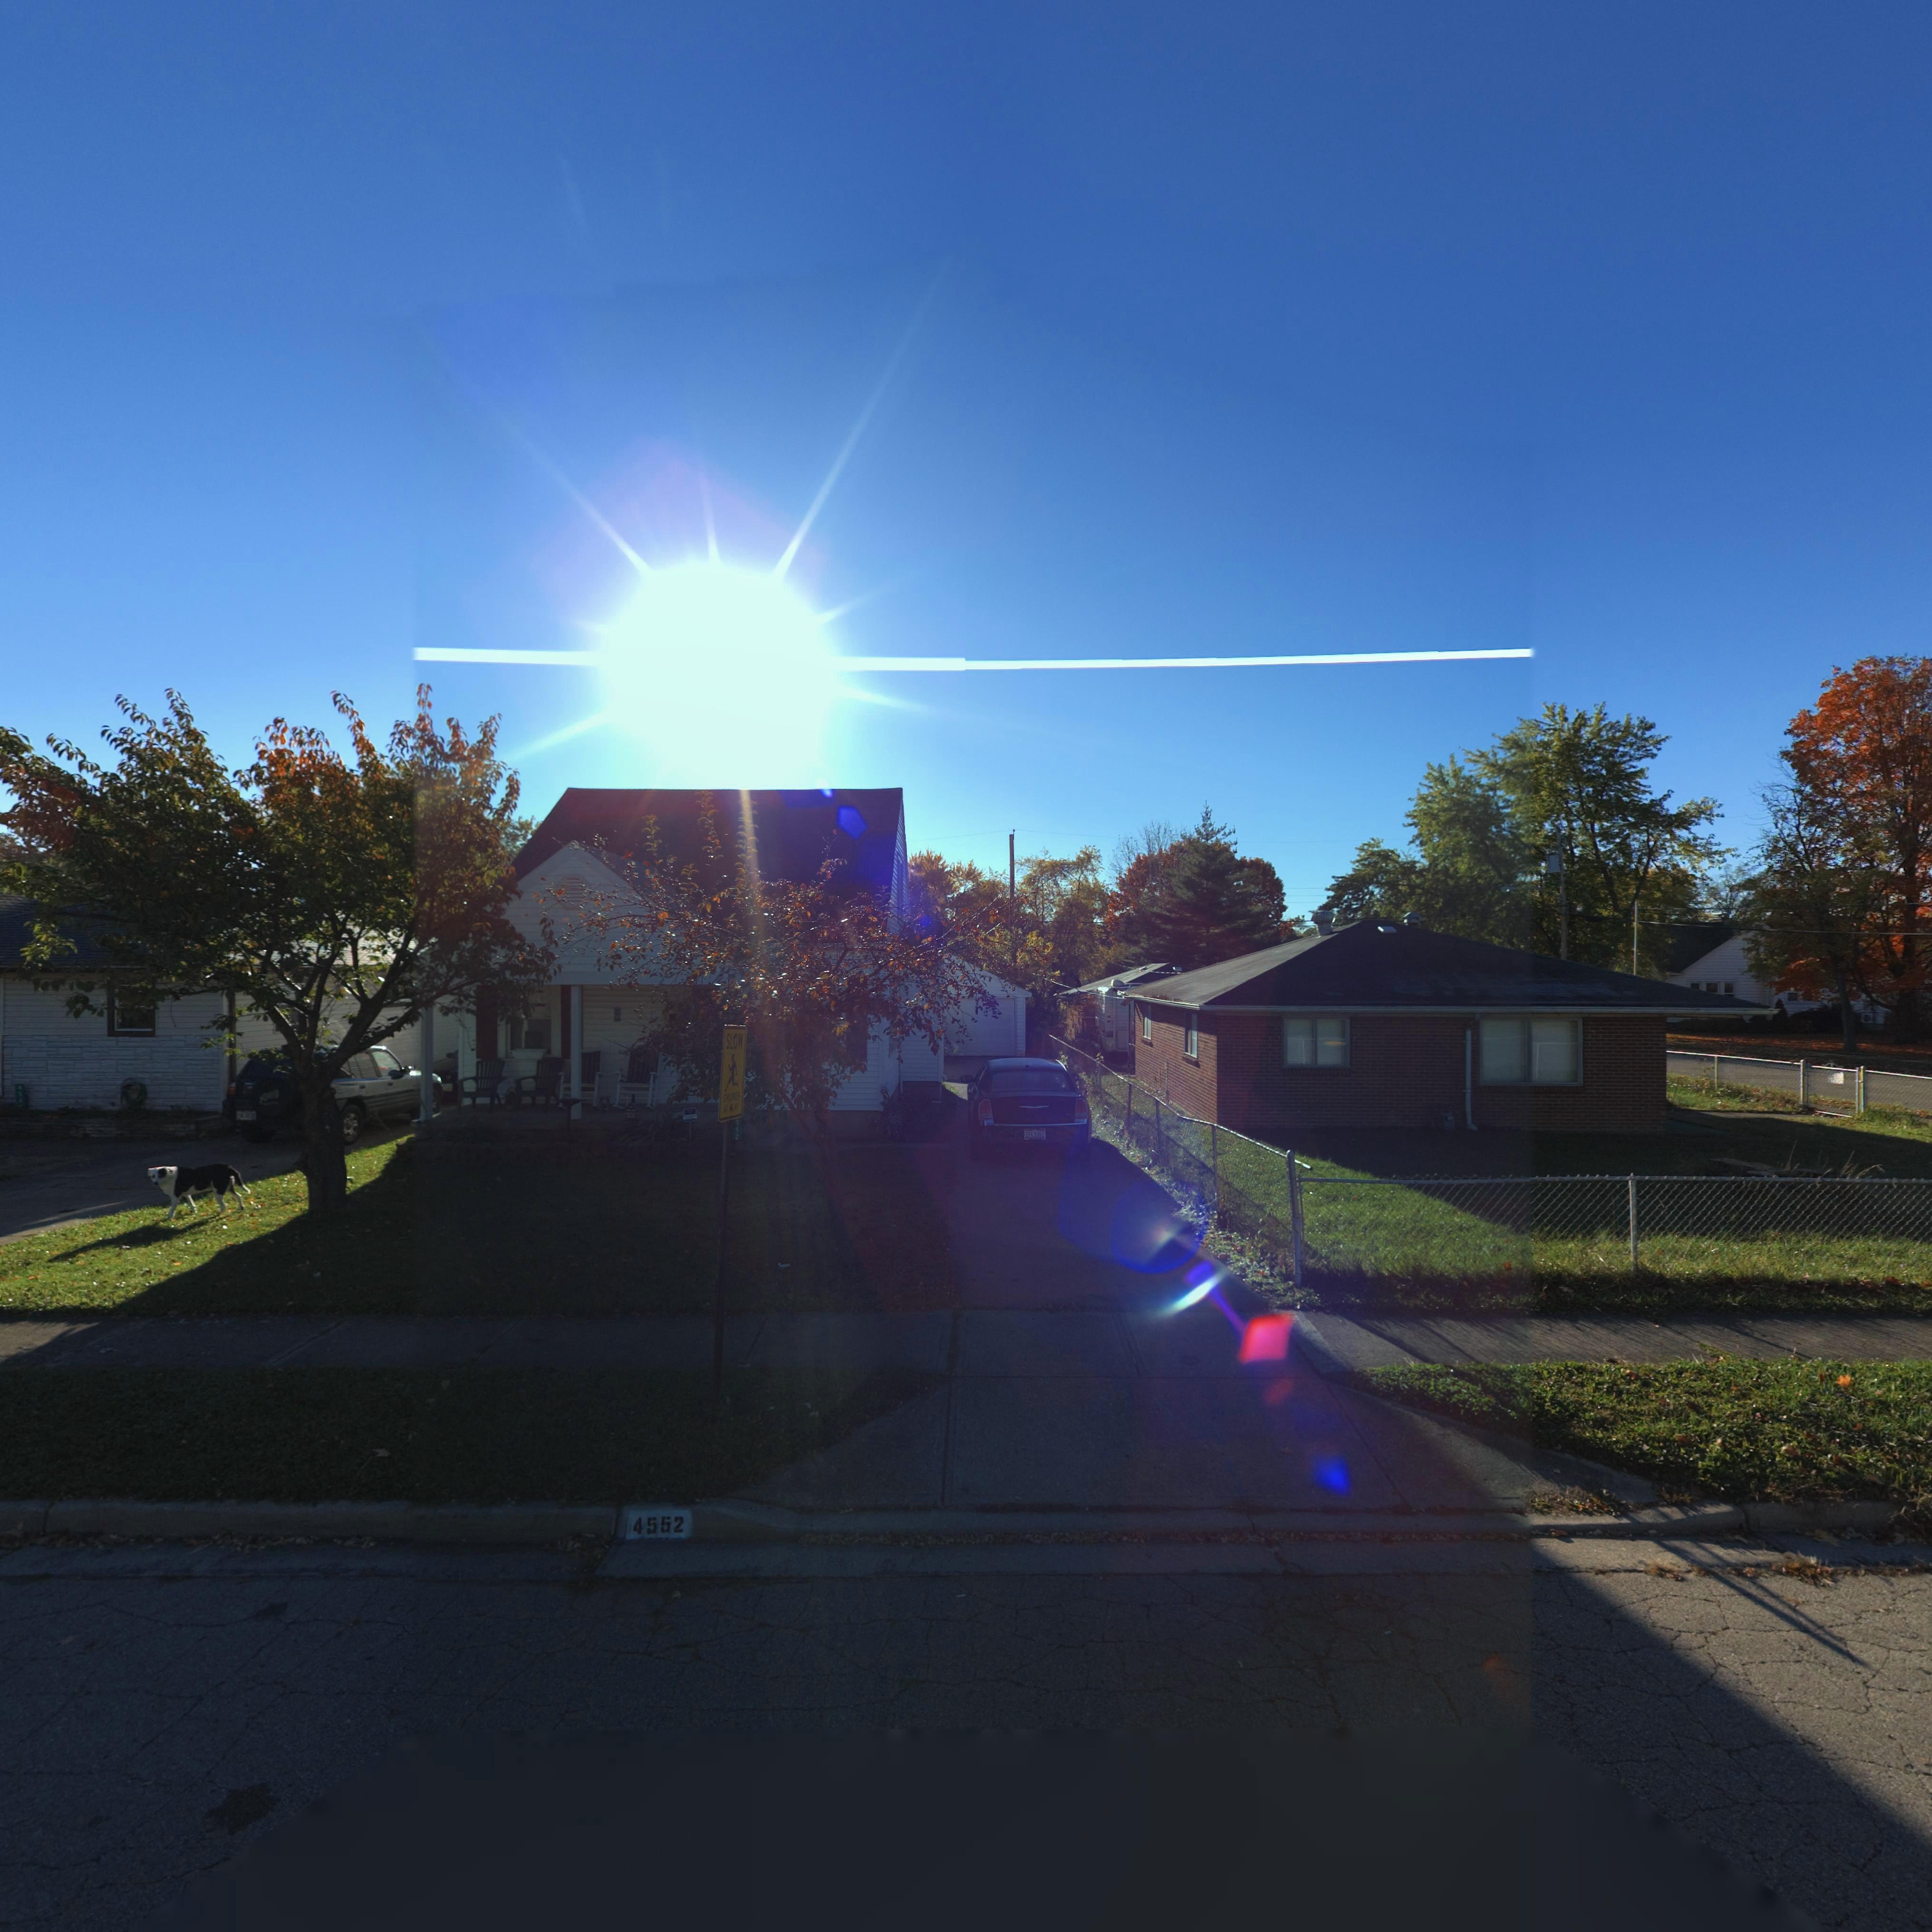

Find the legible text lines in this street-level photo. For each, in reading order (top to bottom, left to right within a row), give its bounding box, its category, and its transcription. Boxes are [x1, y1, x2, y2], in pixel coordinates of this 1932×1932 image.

[17, 1084, 22, 1107] StreetNumber: 4544
[734, 1119, 739, 1140] StreetNumber: 552
[631, 1515, 685, 1536] StreetNumber: 4552